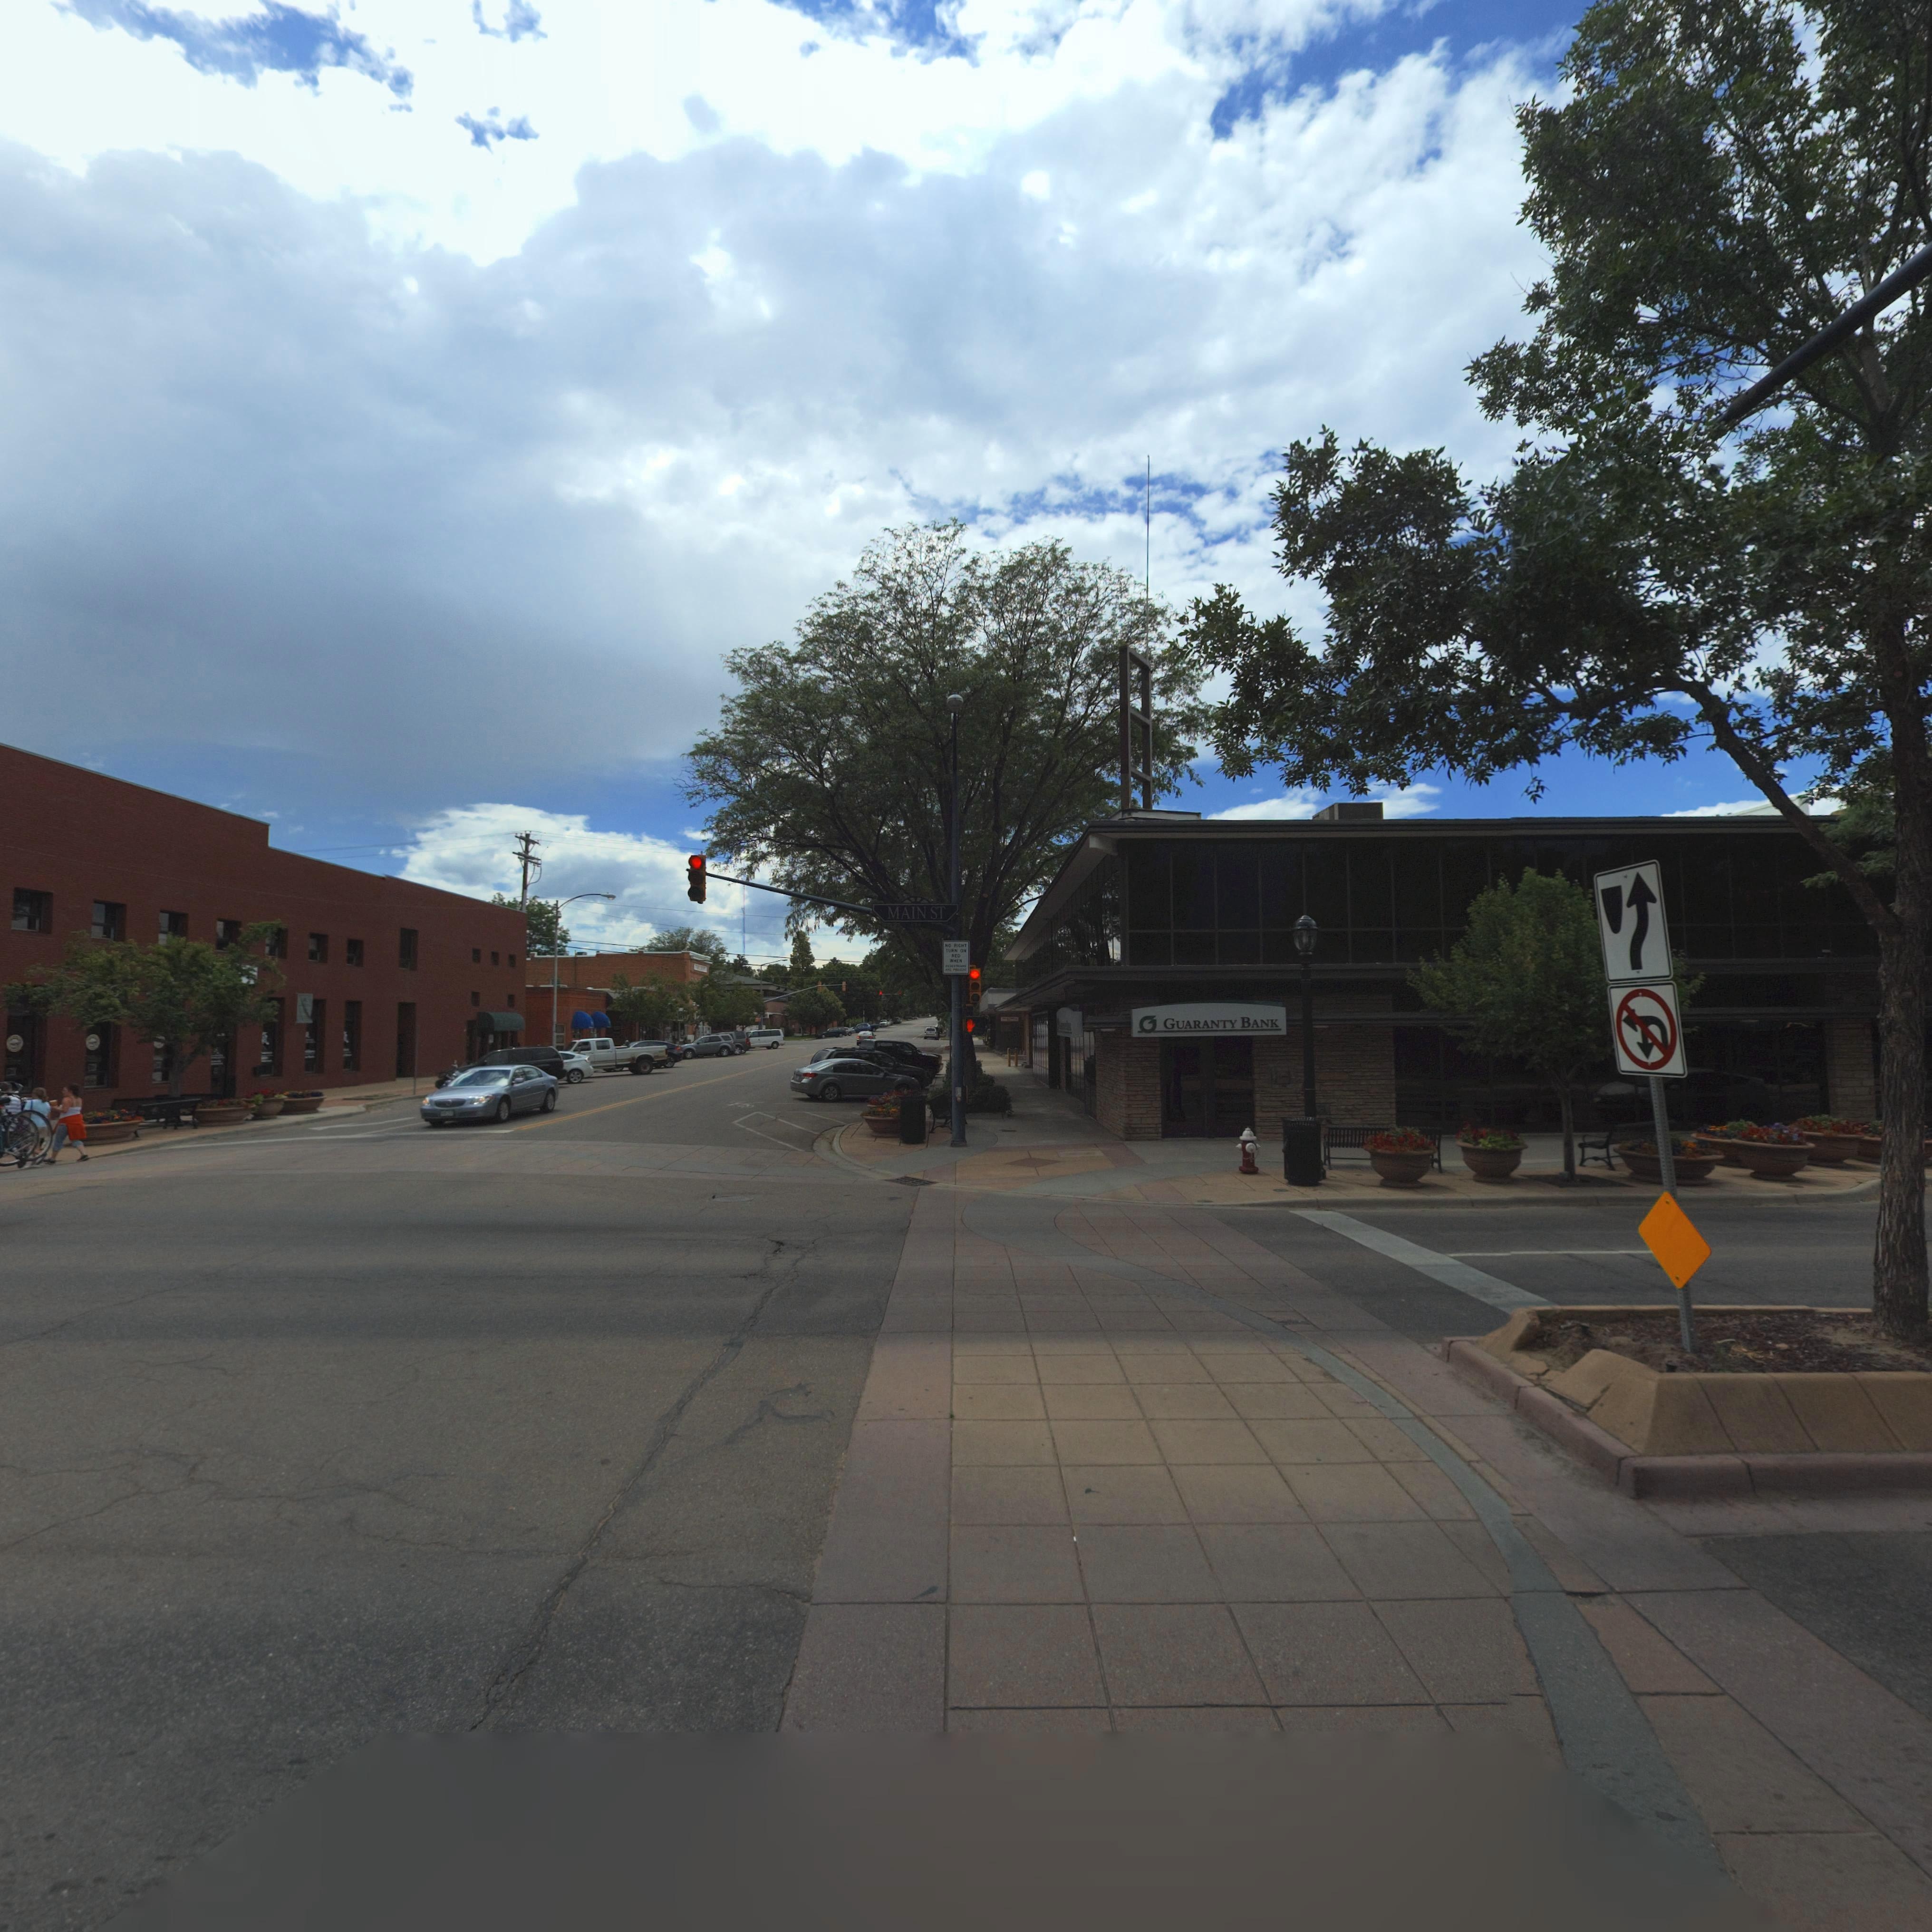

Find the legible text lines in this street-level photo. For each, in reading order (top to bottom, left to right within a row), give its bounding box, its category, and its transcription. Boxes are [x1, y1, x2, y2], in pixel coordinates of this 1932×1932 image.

[887, 906, 946, 919] StreetName: MAIN ST
[1162, 1016, 1279, 1029] BusinessName: GUARANTY BANK